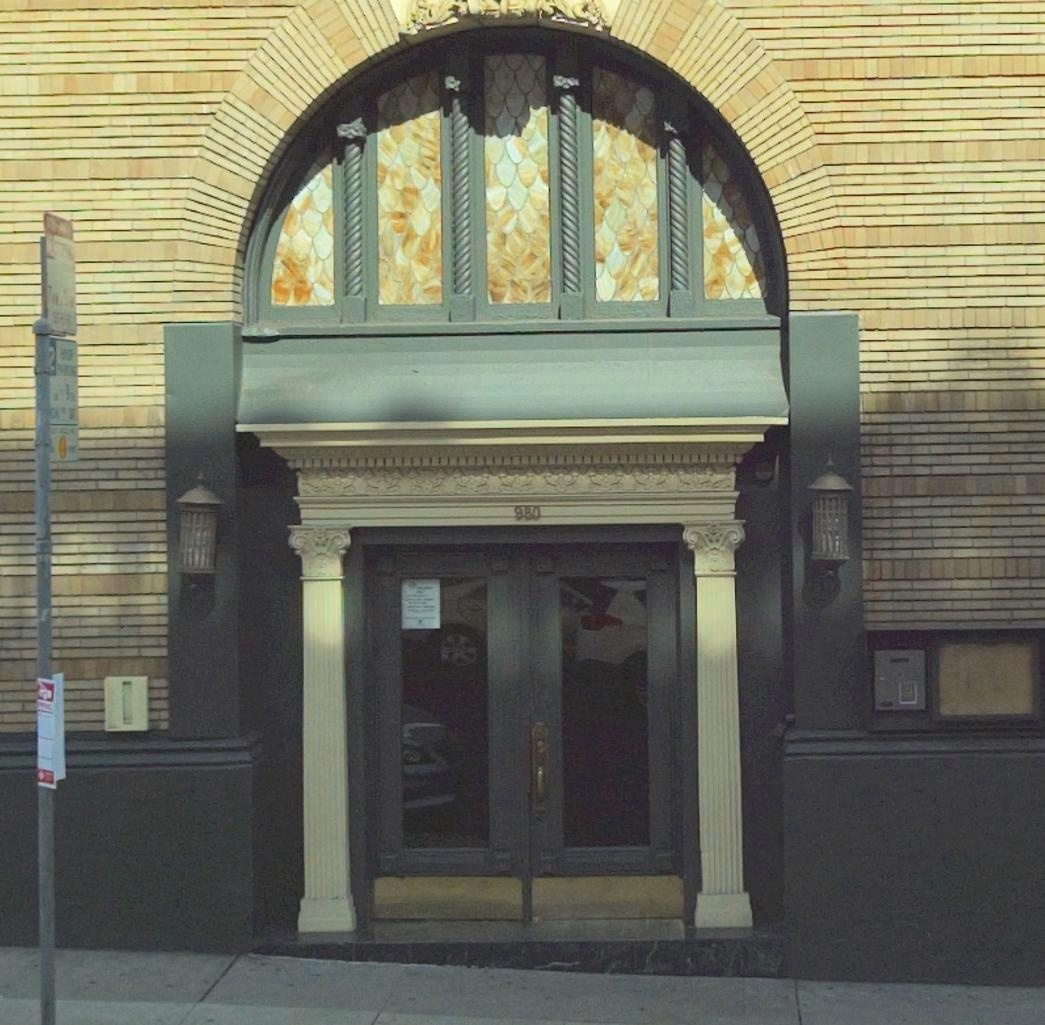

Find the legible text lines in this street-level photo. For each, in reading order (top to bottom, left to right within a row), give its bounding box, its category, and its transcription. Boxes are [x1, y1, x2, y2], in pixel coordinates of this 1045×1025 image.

[511, 503, 545, 523] StreetNumber: 980